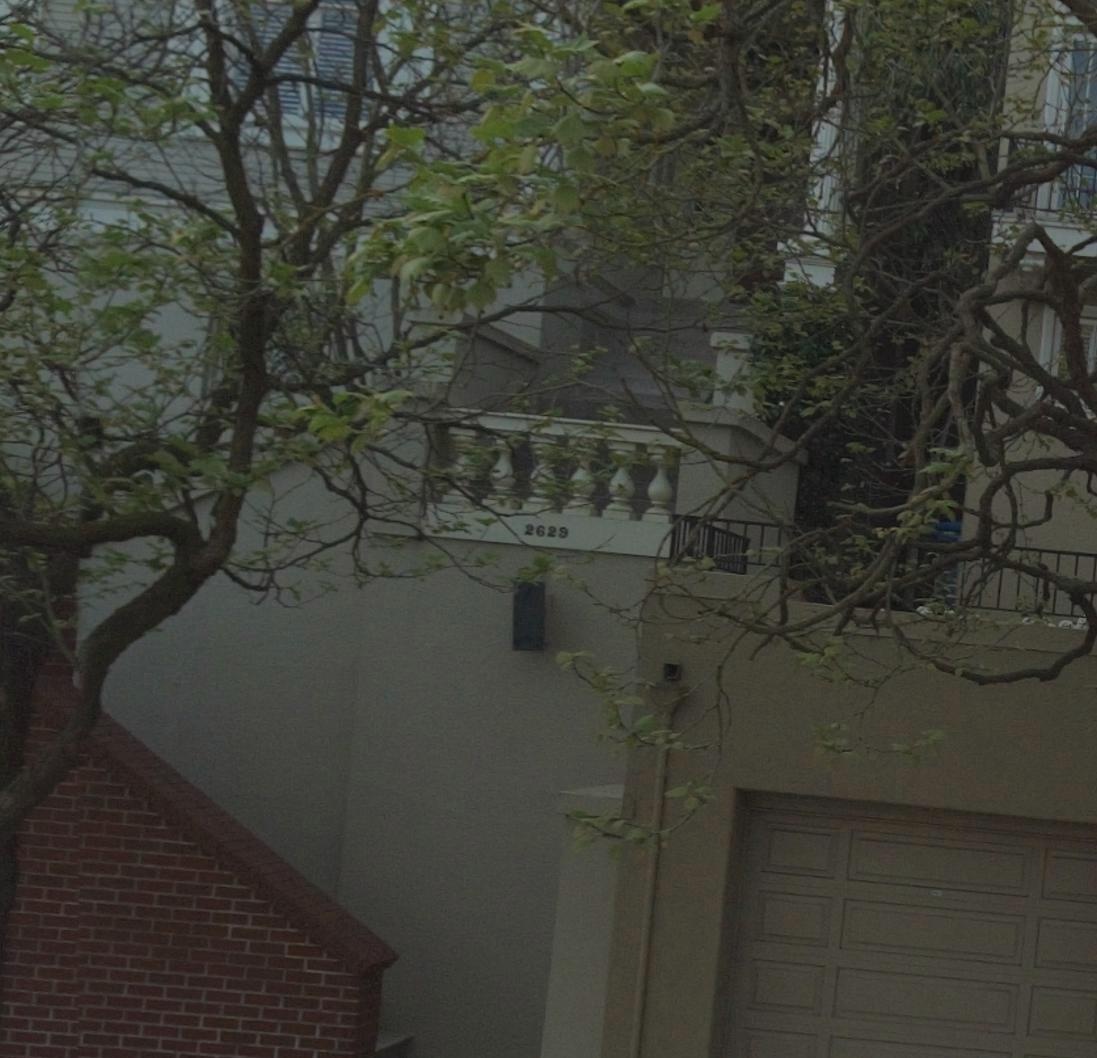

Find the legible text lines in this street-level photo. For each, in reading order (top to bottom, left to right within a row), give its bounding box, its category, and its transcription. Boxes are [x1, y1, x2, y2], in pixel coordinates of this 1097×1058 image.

[521, 521, 571, 541] StreetNumber: 2629